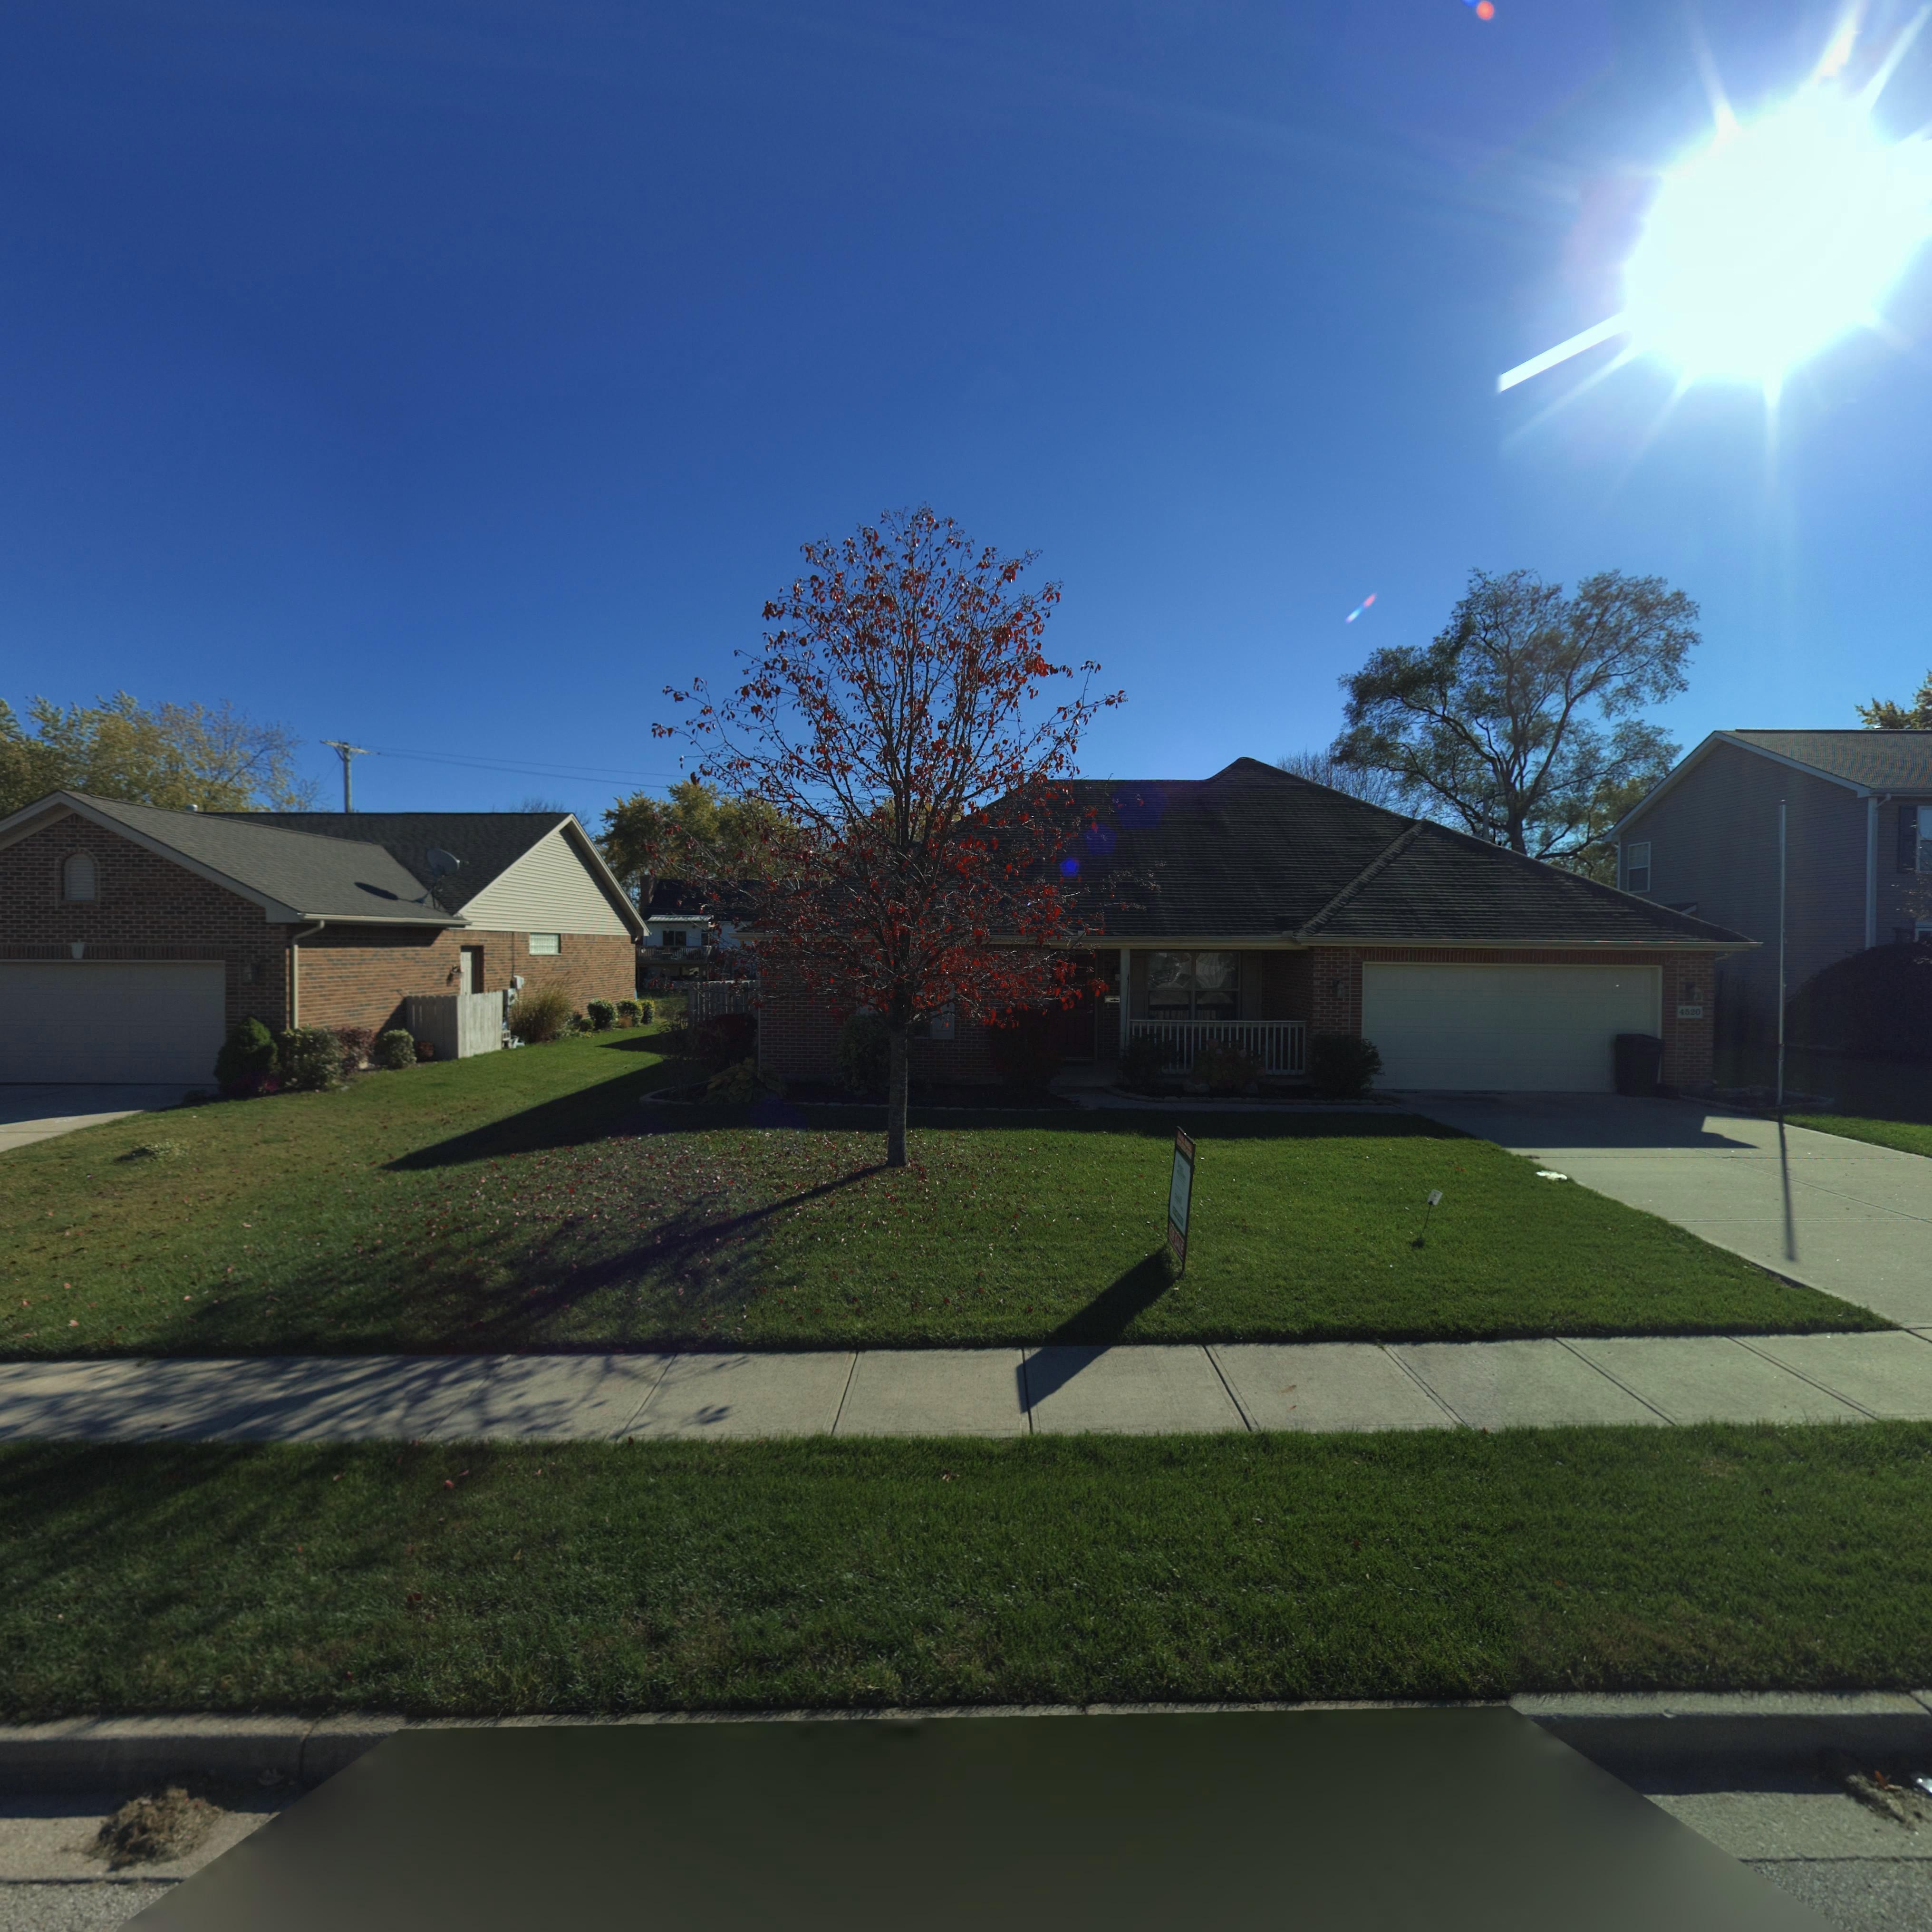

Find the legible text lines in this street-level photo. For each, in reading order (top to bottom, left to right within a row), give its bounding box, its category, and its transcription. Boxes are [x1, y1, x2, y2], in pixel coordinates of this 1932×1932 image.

[1678, 1007, 1702, 1017] StreetNumber: 4520
[1168, 1222, 1185, 1258] None: *OR*SALE